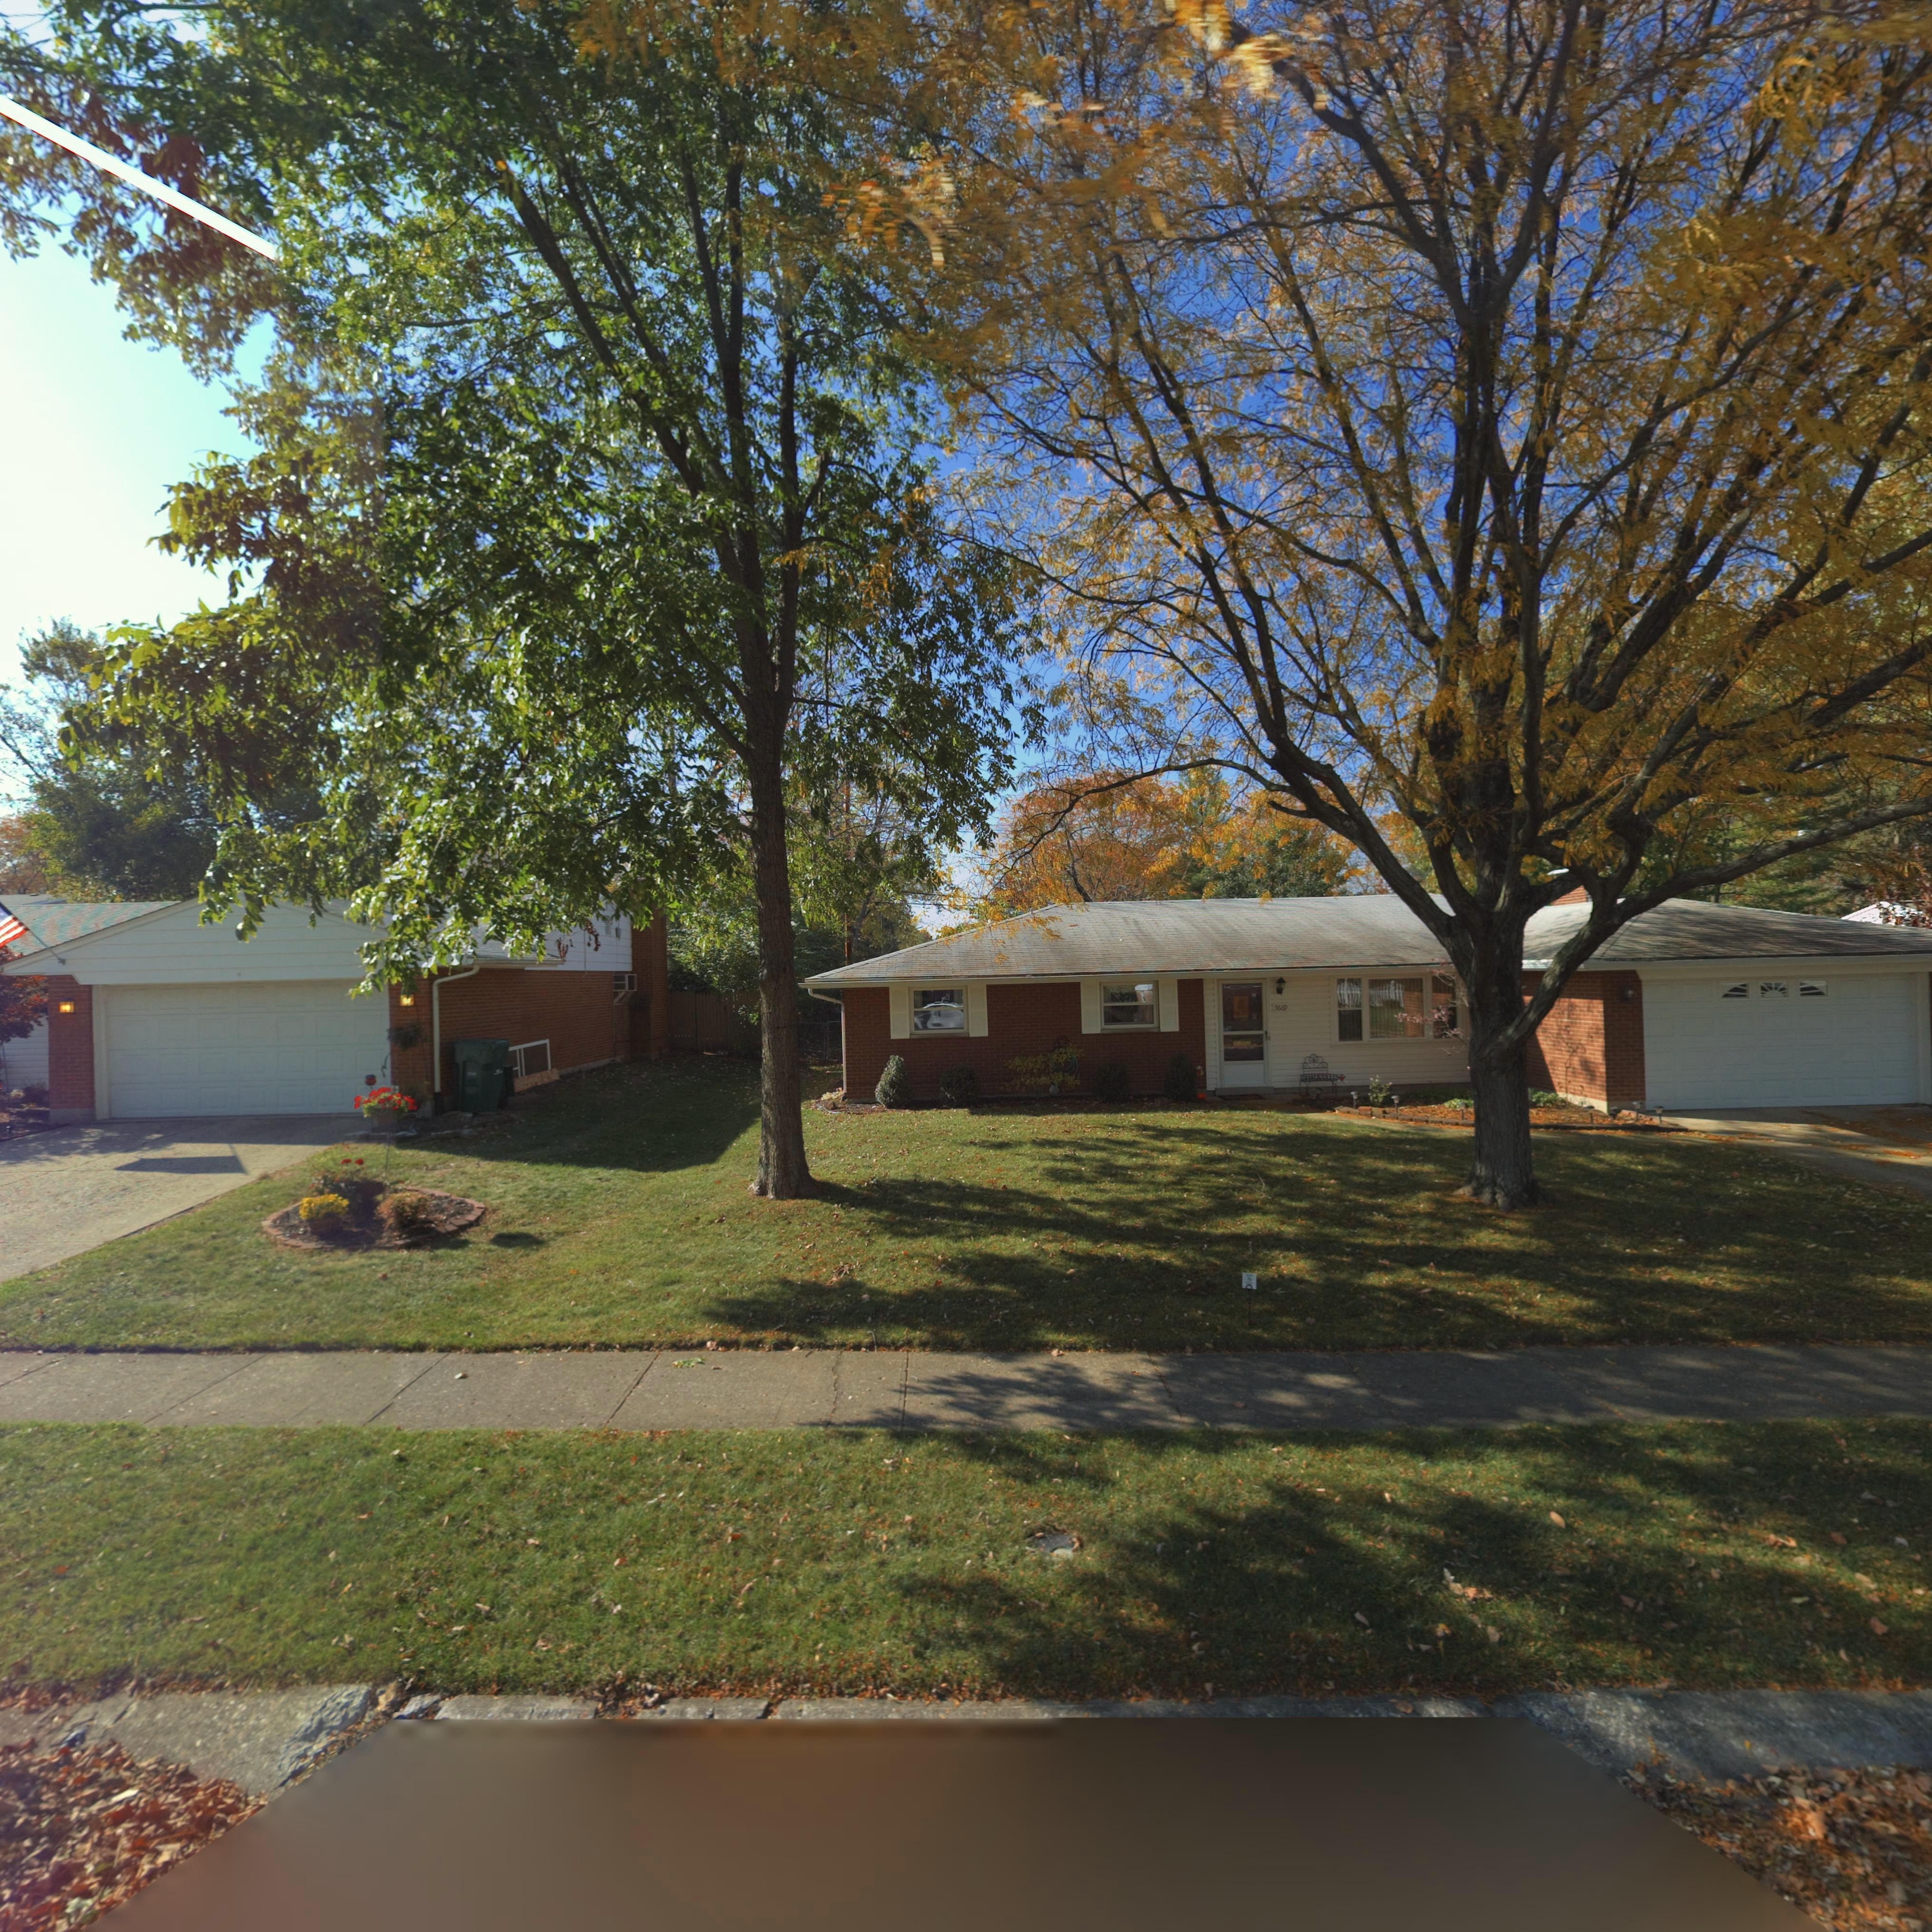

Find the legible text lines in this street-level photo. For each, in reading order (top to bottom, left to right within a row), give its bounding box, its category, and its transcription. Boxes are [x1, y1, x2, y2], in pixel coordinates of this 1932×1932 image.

[1274, 1004, 1288, 1012] StreetNumber: 3669